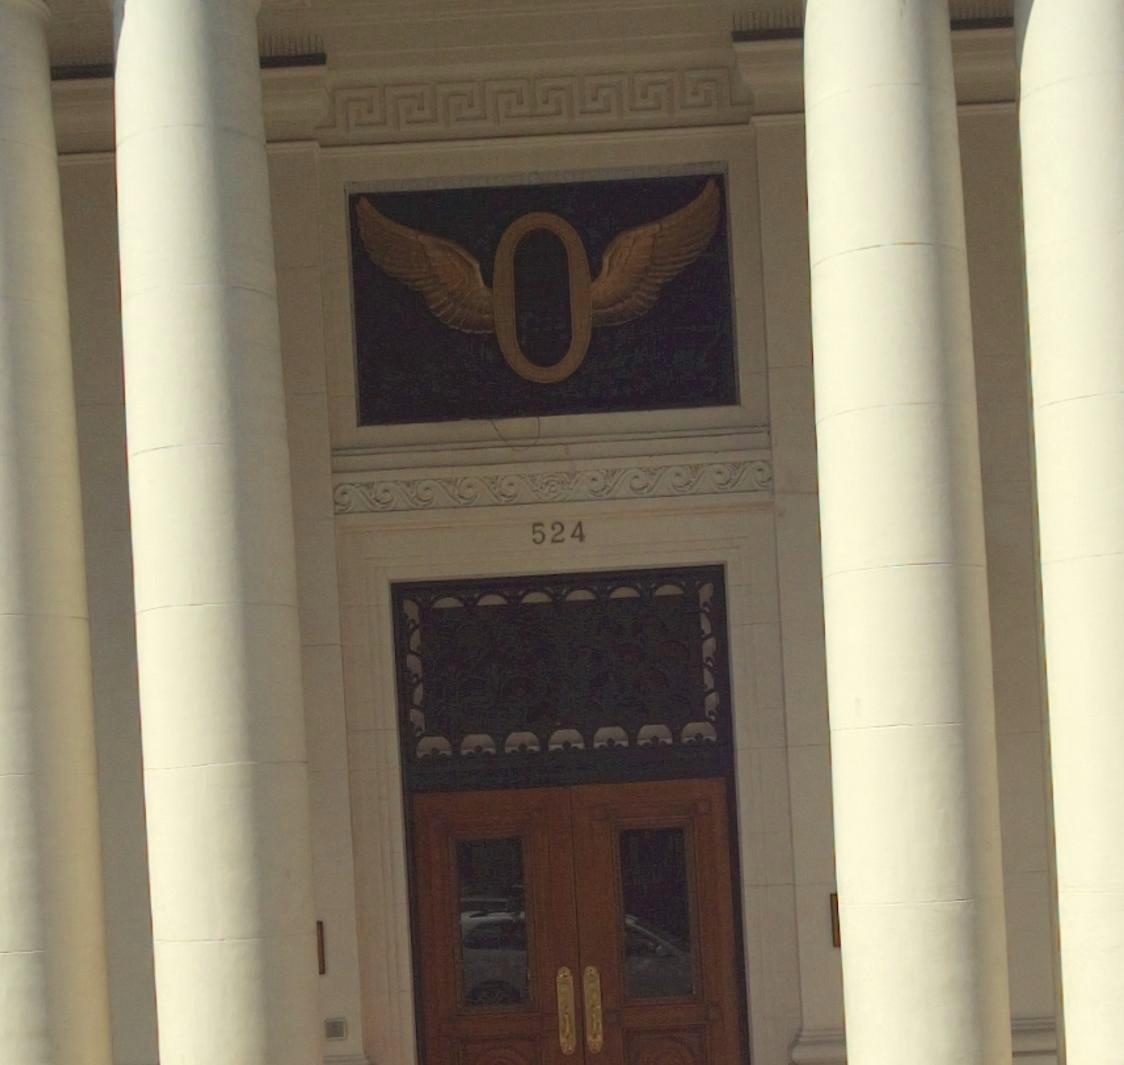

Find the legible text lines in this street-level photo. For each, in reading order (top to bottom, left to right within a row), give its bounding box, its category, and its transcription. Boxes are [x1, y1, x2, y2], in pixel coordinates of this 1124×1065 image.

[487, 207, 598, 392] None: O
[531, 519, 586, 546] StreetNumber: 524